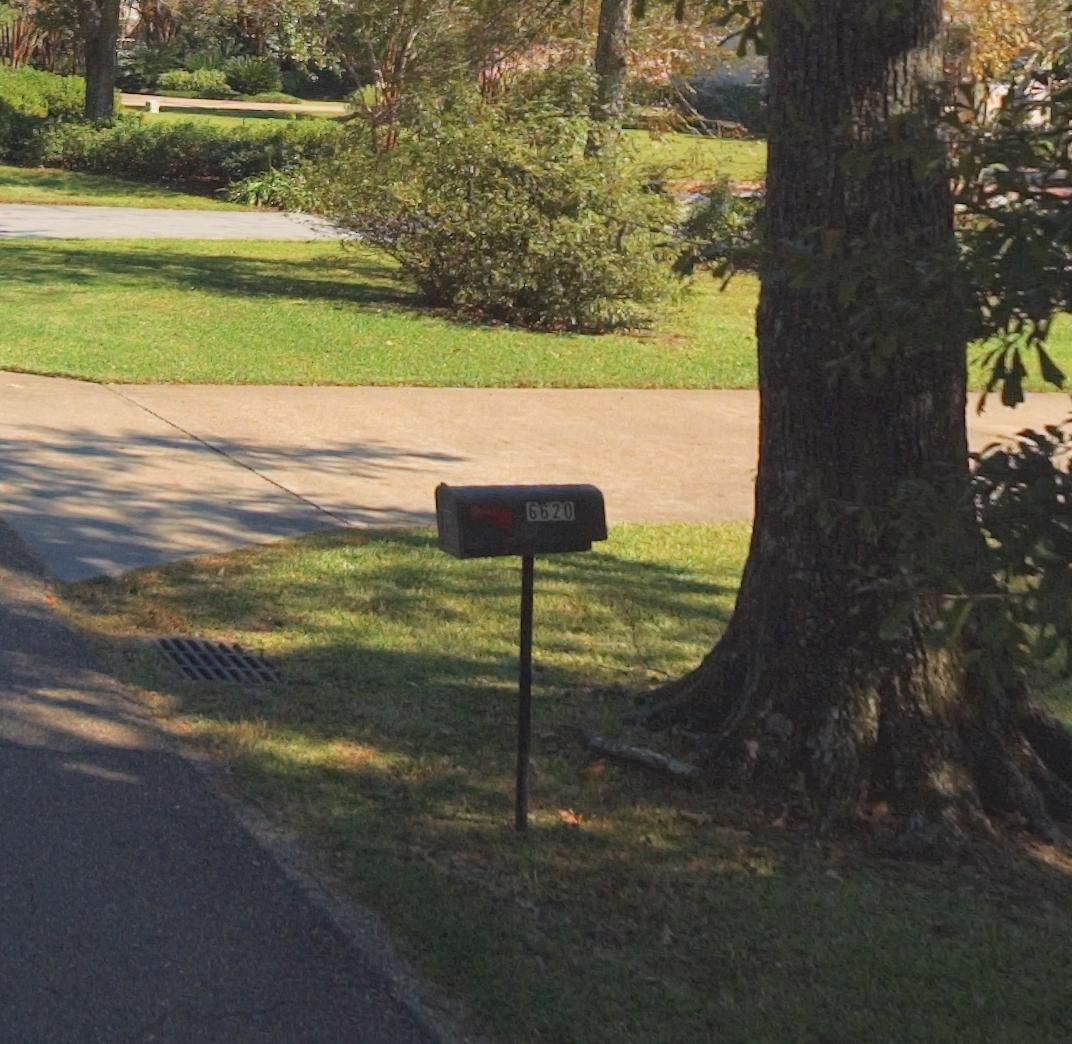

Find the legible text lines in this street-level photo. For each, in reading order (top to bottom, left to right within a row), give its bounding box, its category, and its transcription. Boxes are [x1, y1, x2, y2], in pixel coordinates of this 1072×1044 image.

[527, 500, 574, 521] StreetNumber: 6620